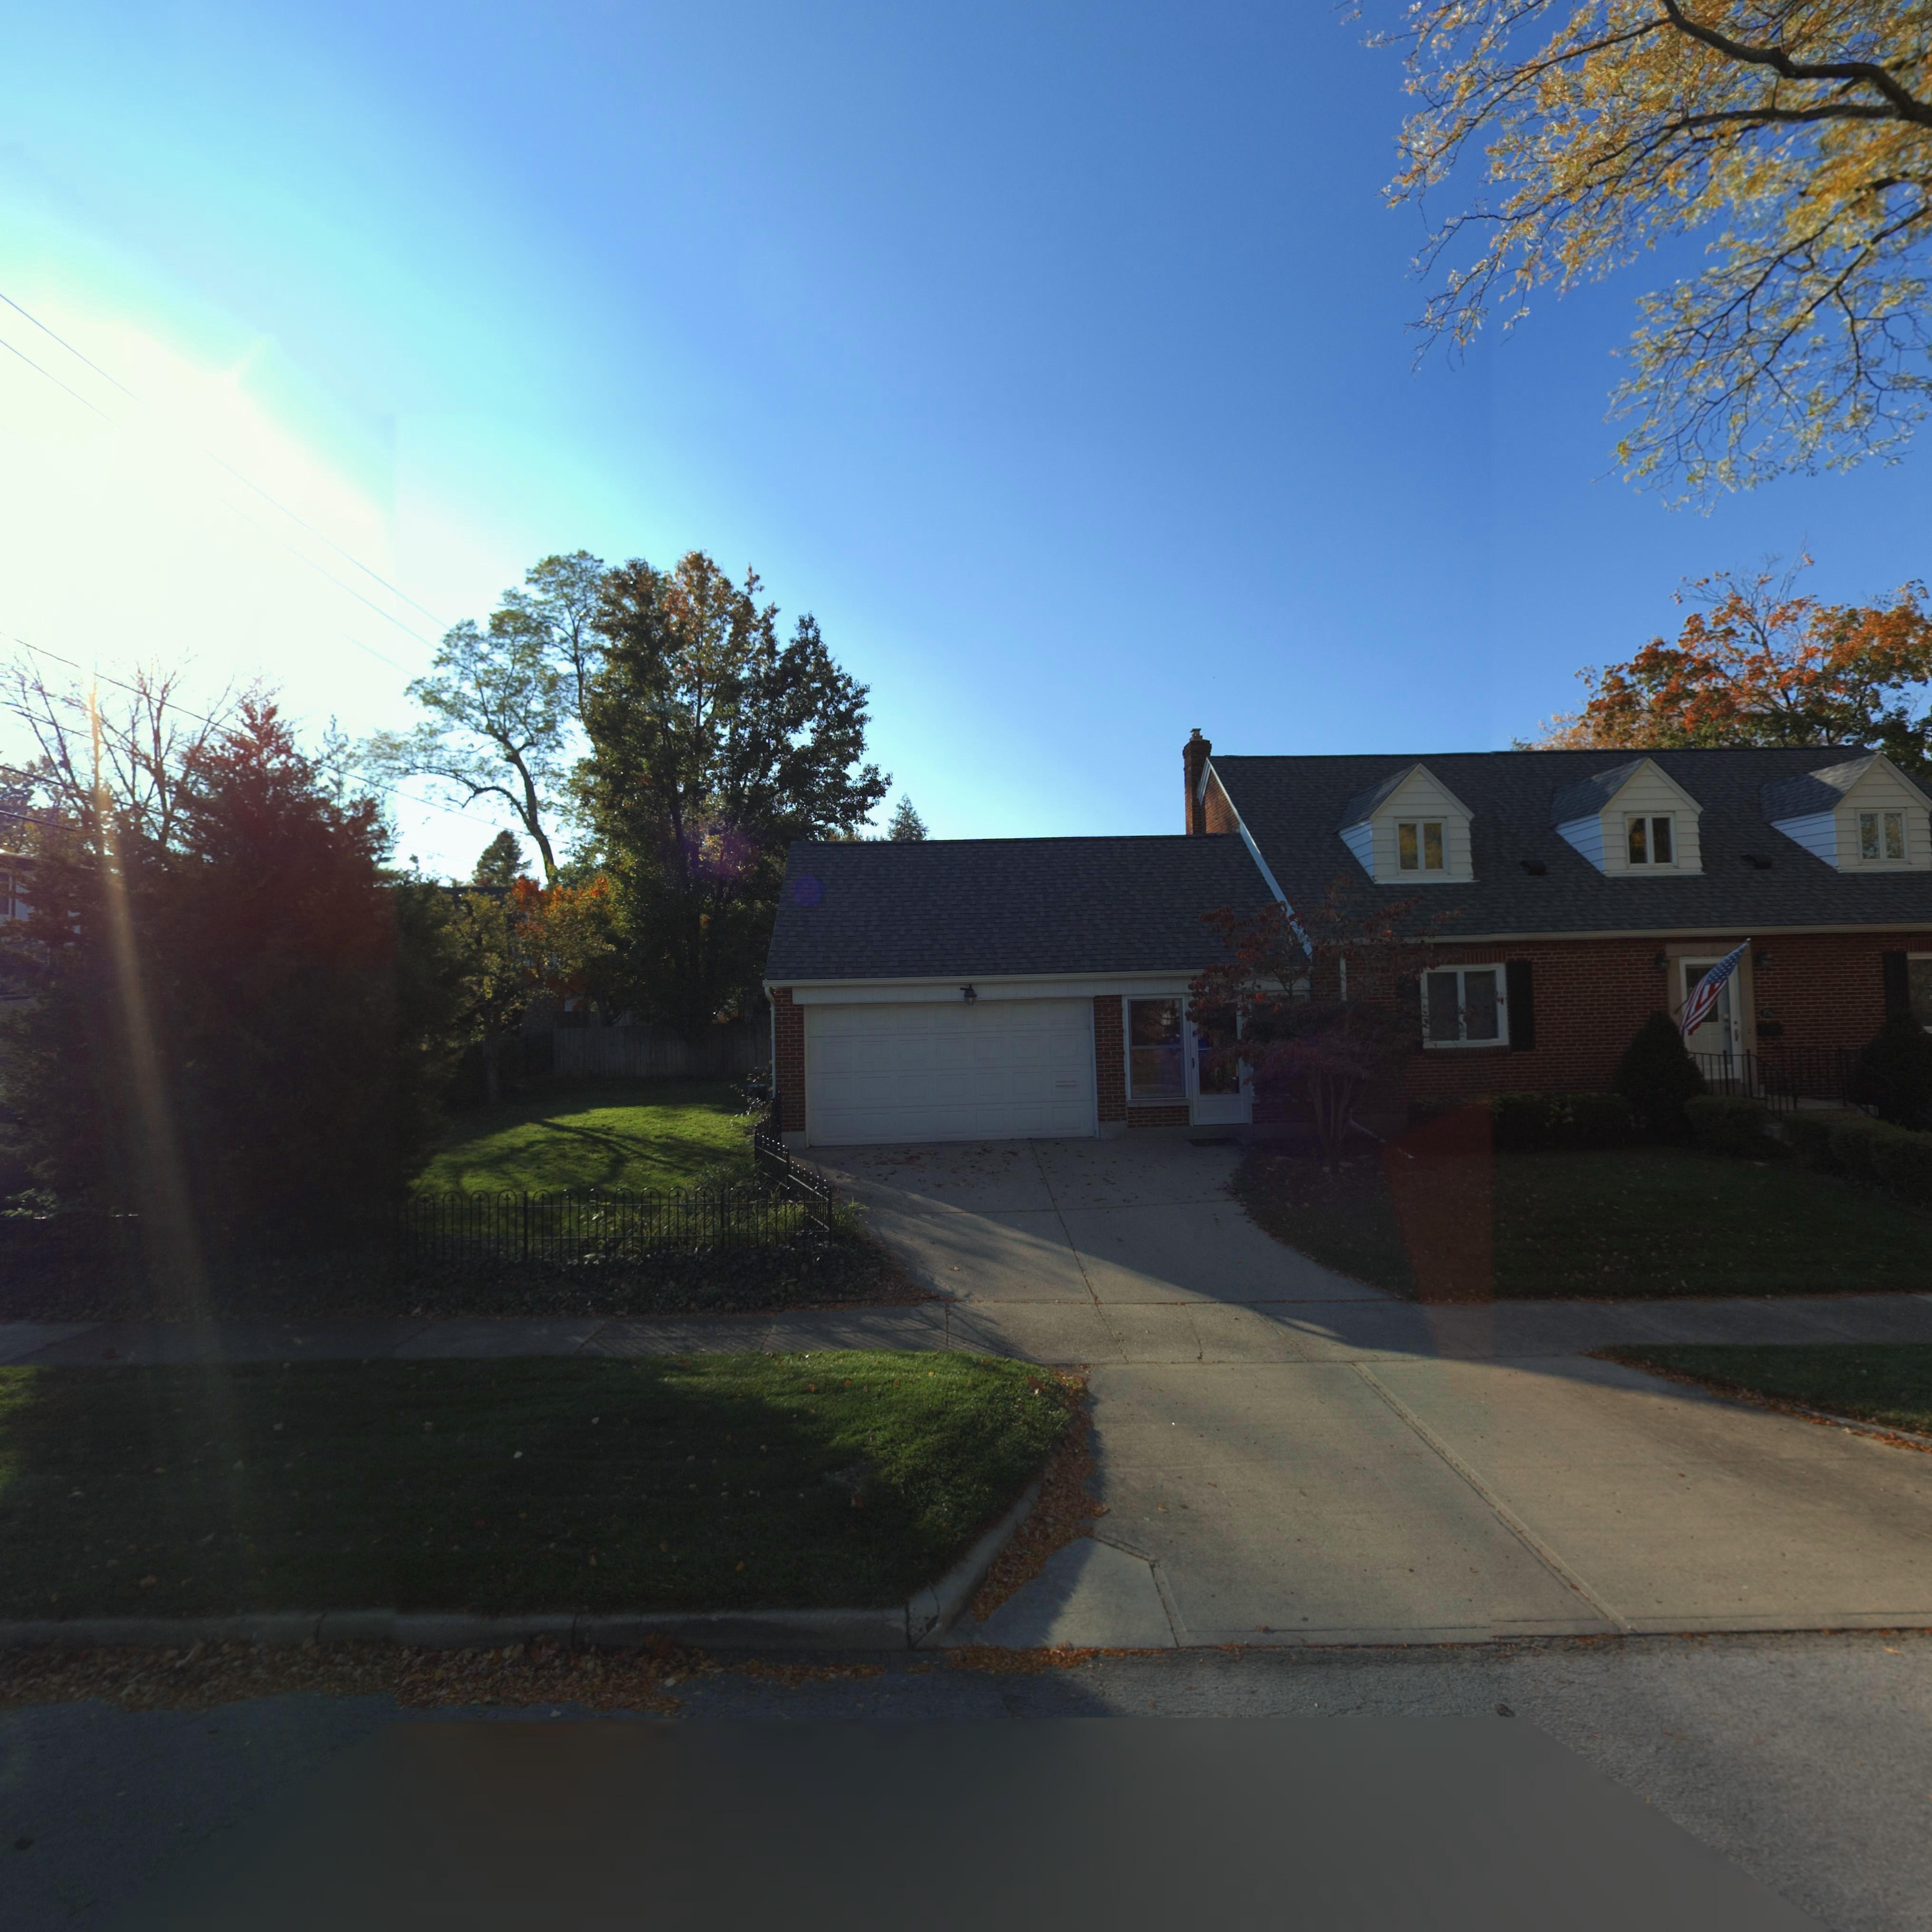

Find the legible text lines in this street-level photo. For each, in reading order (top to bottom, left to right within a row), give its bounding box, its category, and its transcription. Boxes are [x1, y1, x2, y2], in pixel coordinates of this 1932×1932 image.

[1762, 1009, 1774, 1018] StreetNumber: 3**